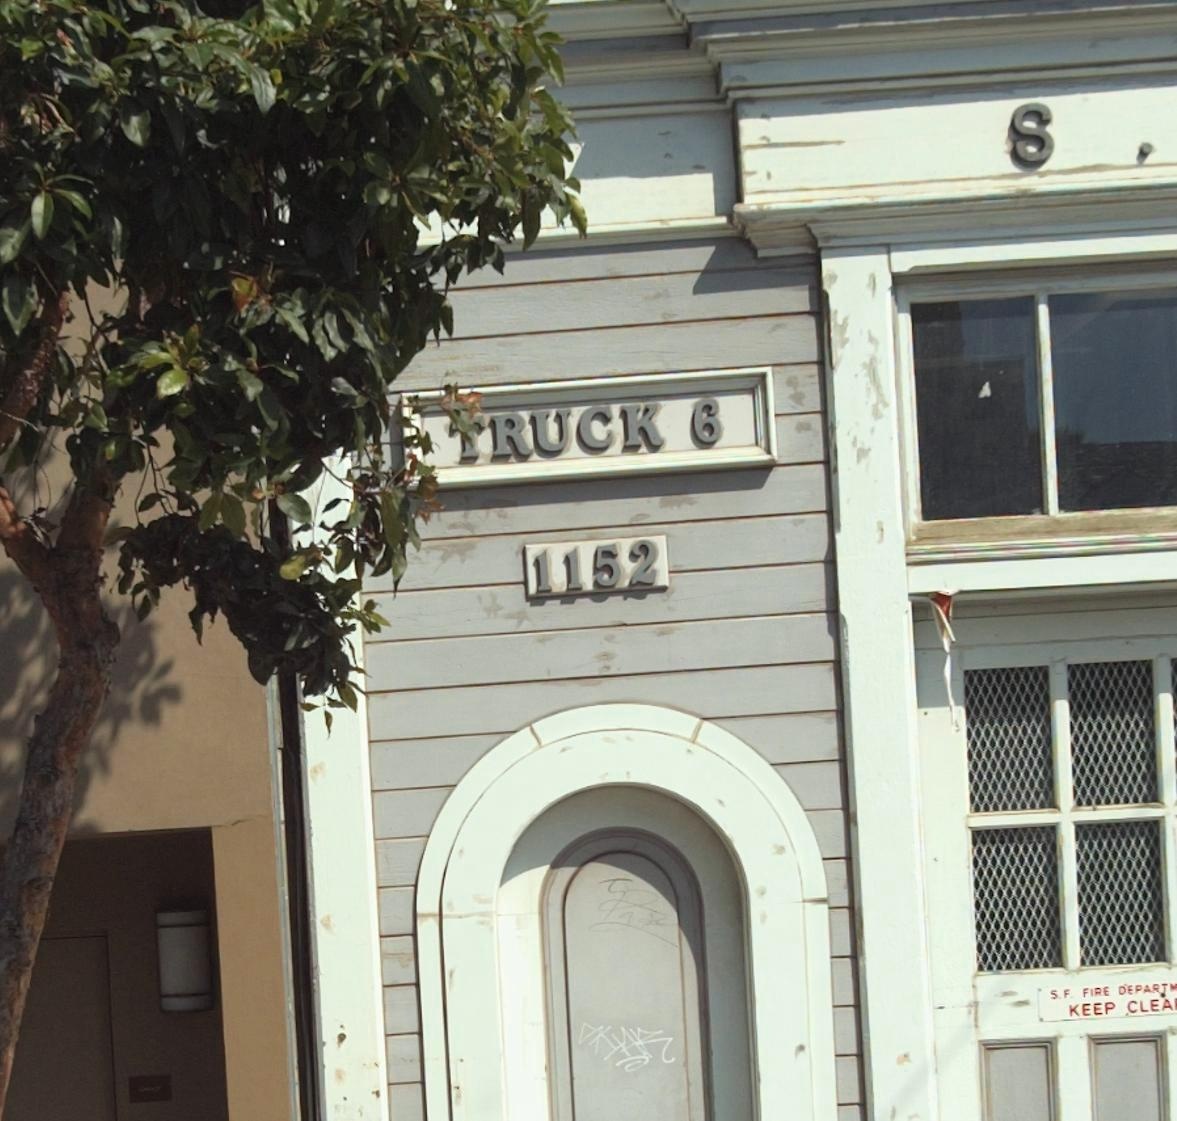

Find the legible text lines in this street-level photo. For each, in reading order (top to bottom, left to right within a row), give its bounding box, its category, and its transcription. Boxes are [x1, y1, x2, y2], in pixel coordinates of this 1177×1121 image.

[1007, 100, 1059, 174] None: S
[443, 395, 728, 466] None: *RUCK 6
[532, 538, 662, 596] StreetNumber: 1152
[1049, 982, 1169, 999] None: S.F. FIRE DEPART
[1066, 997, 1174, 1017] None: KEEP CLEA